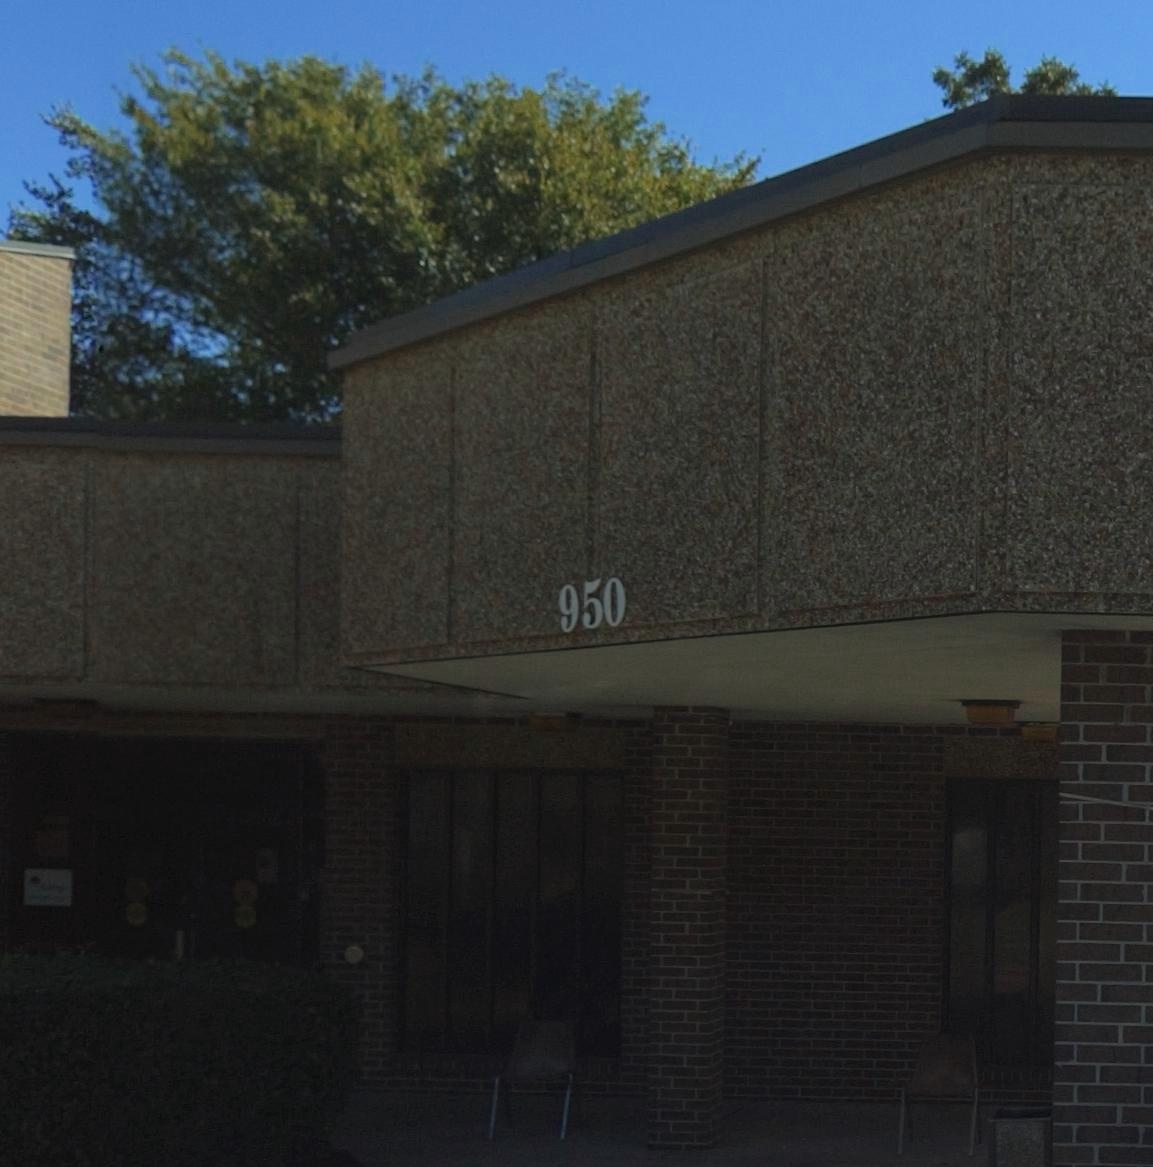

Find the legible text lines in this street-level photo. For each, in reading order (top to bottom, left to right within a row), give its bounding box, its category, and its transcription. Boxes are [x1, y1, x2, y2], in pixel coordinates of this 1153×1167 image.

[556, 570, 630, 638] StreetNumber: 950